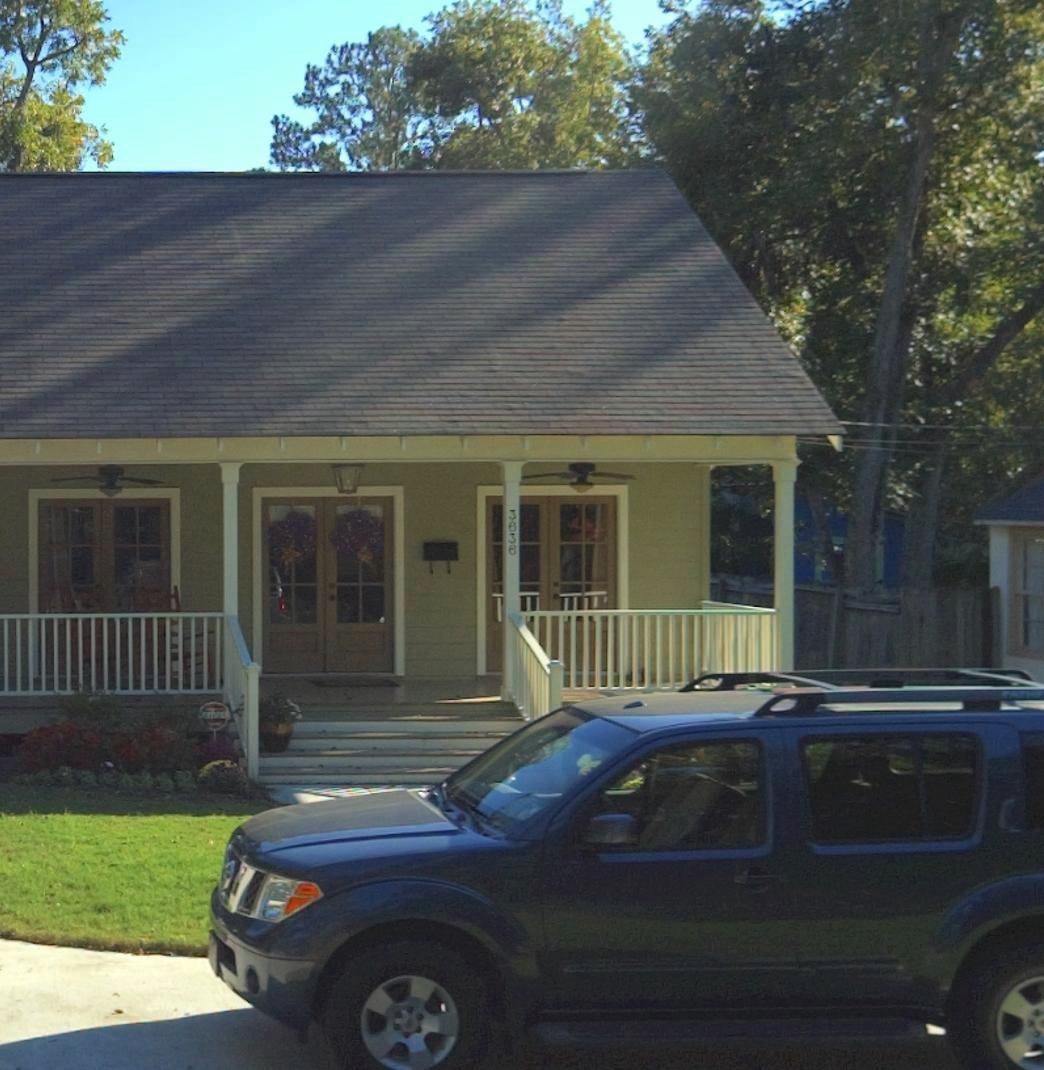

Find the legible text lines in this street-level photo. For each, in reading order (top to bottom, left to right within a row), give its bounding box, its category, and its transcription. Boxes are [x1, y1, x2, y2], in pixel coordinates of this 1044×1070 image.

[507, 508, 518, 557] StreetNumber: 3636